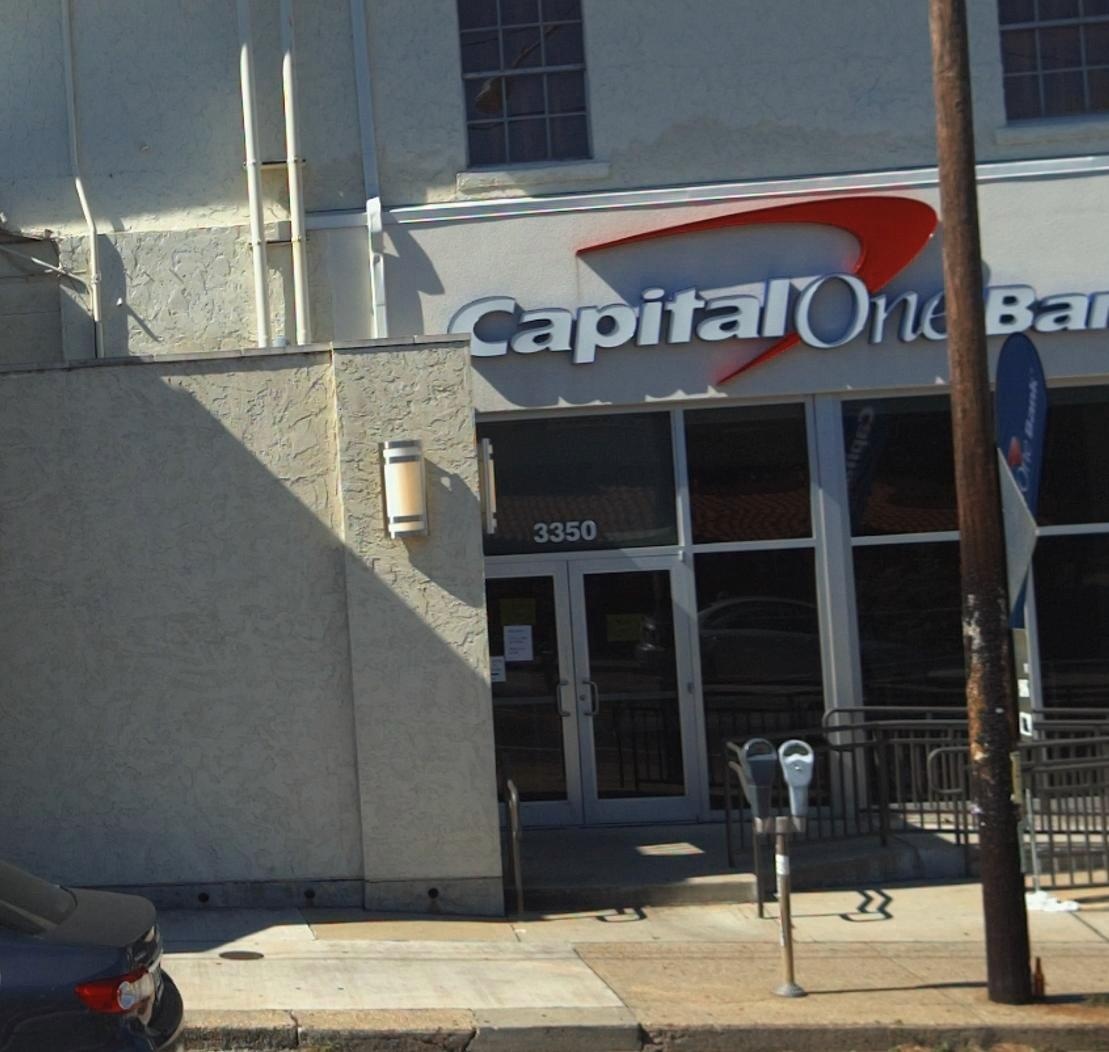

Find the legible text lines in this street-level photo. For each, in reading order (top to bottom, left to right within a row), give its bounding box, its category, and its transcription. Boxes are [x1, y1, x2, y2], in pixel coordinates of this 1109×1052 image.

[443, 270, 1092, 366] BusinessName: CapitalOn*Ba
[532, 518, 599, 545] StreetNumber: 3350